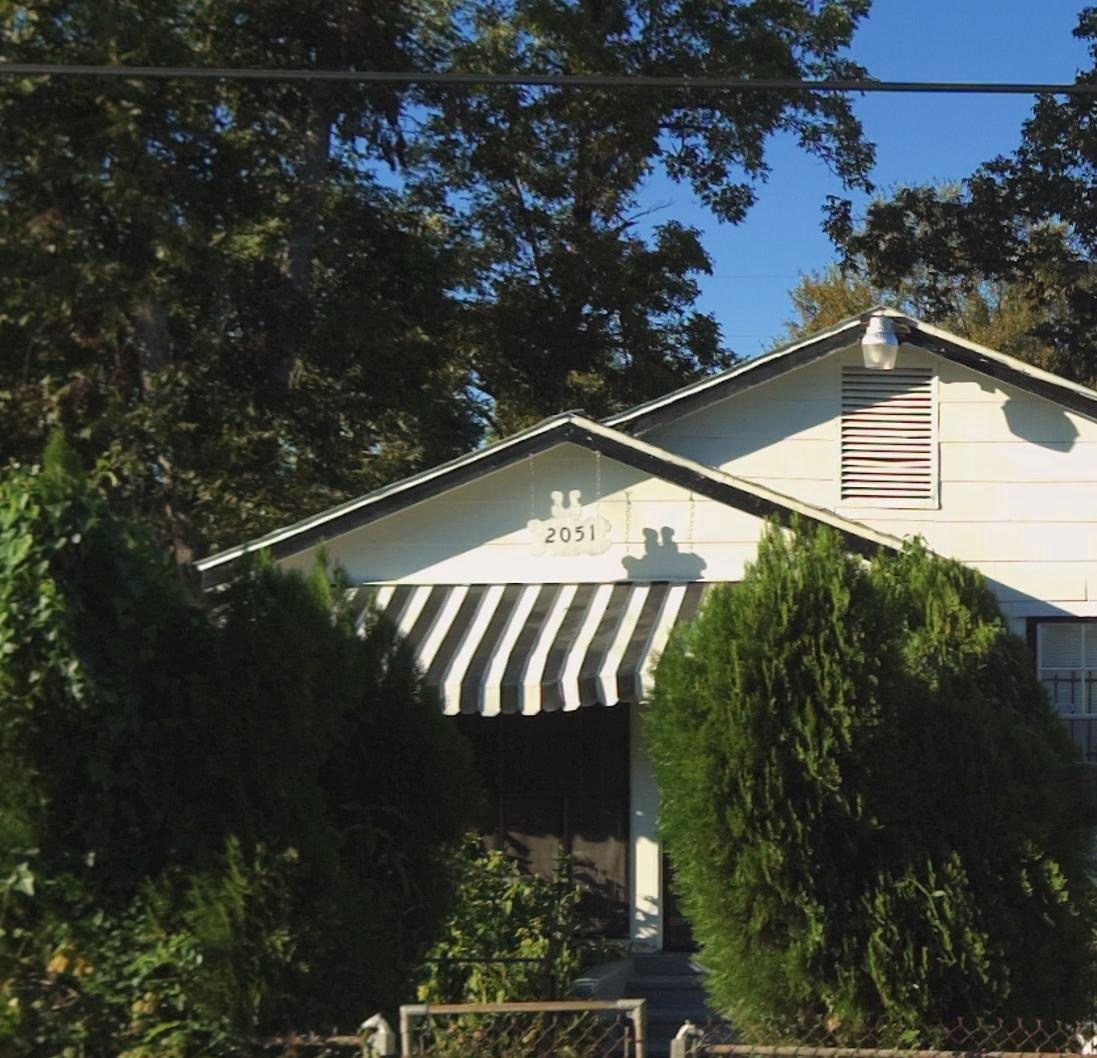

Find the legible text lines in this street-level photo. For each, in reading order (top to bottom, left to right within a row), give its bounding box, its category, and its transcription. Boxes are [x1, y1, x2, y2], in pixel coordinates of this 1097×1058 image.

[543, 522, 597, 544] StreetNumber: 2051